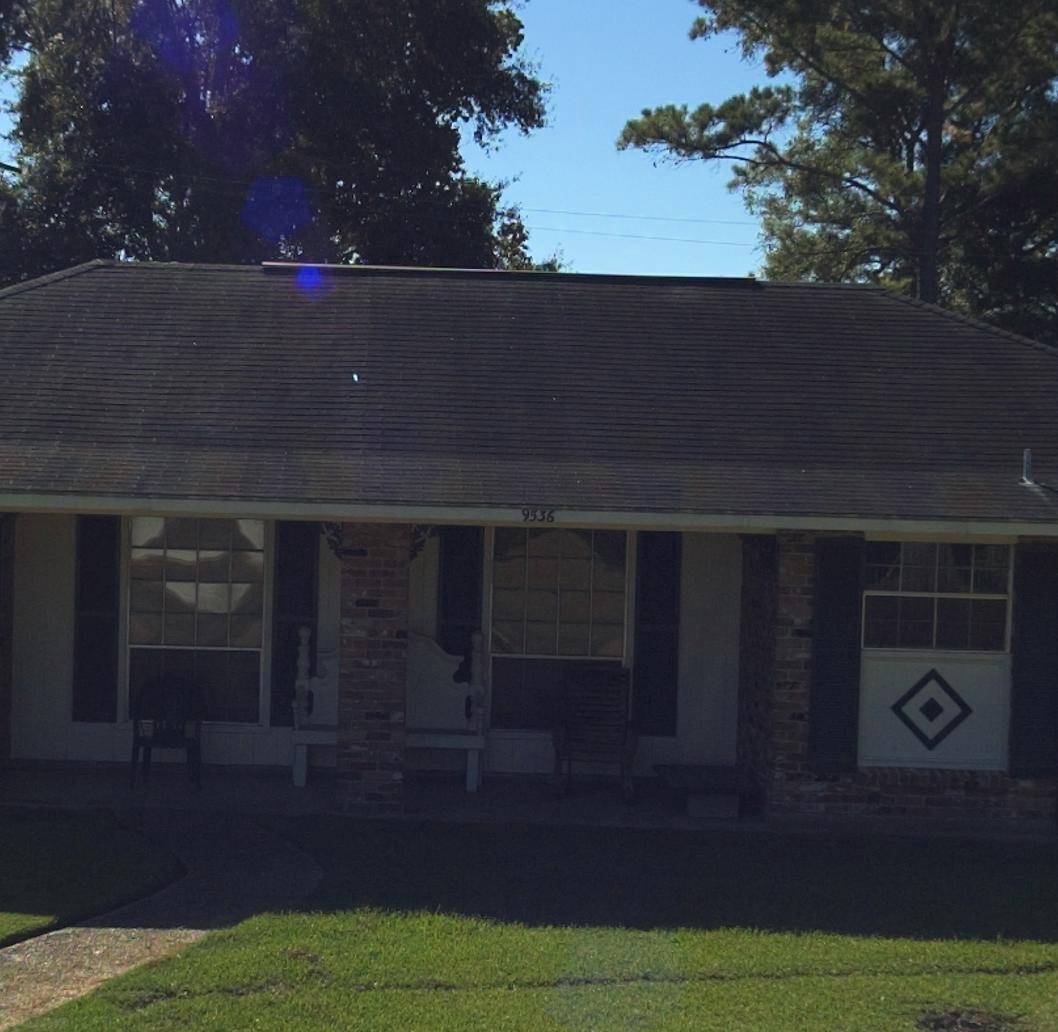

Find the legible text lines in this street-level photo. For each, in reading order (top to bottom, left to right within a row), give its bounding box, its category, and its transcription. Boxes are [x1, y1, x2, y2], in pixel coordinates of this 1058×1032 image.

[520, 507, 556, 523] StreetNumber: 9536